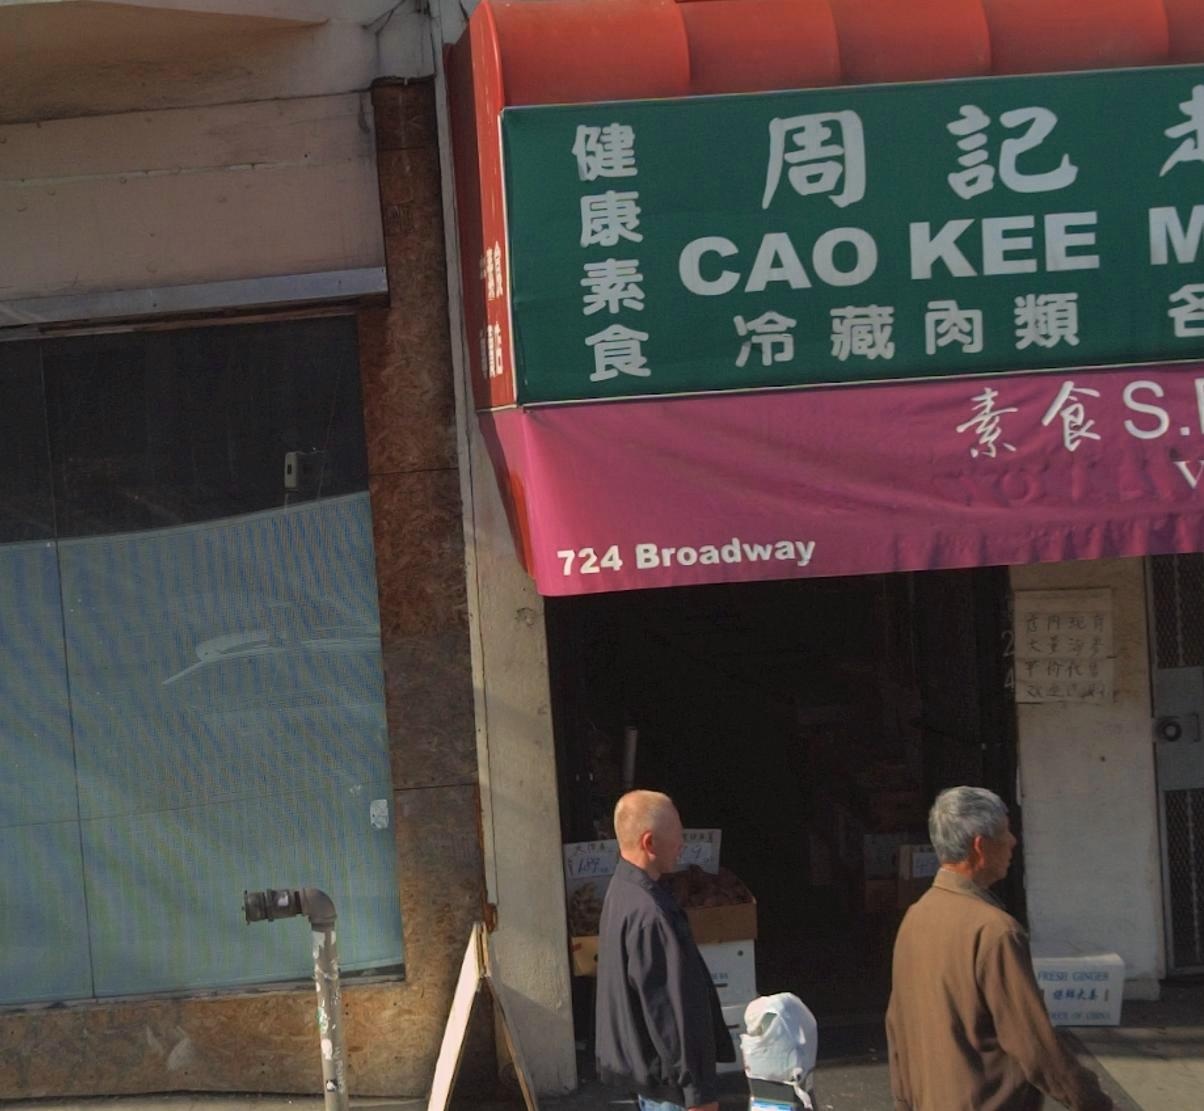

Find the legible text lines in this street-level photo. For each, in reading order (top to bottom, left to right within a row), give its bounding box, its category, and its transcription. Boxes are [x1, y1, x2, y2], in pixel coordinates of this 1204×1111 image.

[674, 205, 1101, 301] BusinessName: CAO KEE
[556, 544, 625, 578] StreetNumber: 724
[632, 536, 819, 573] StreetName: Broadway
[1036, 969, 1111, 983] None: FRESH GINGER